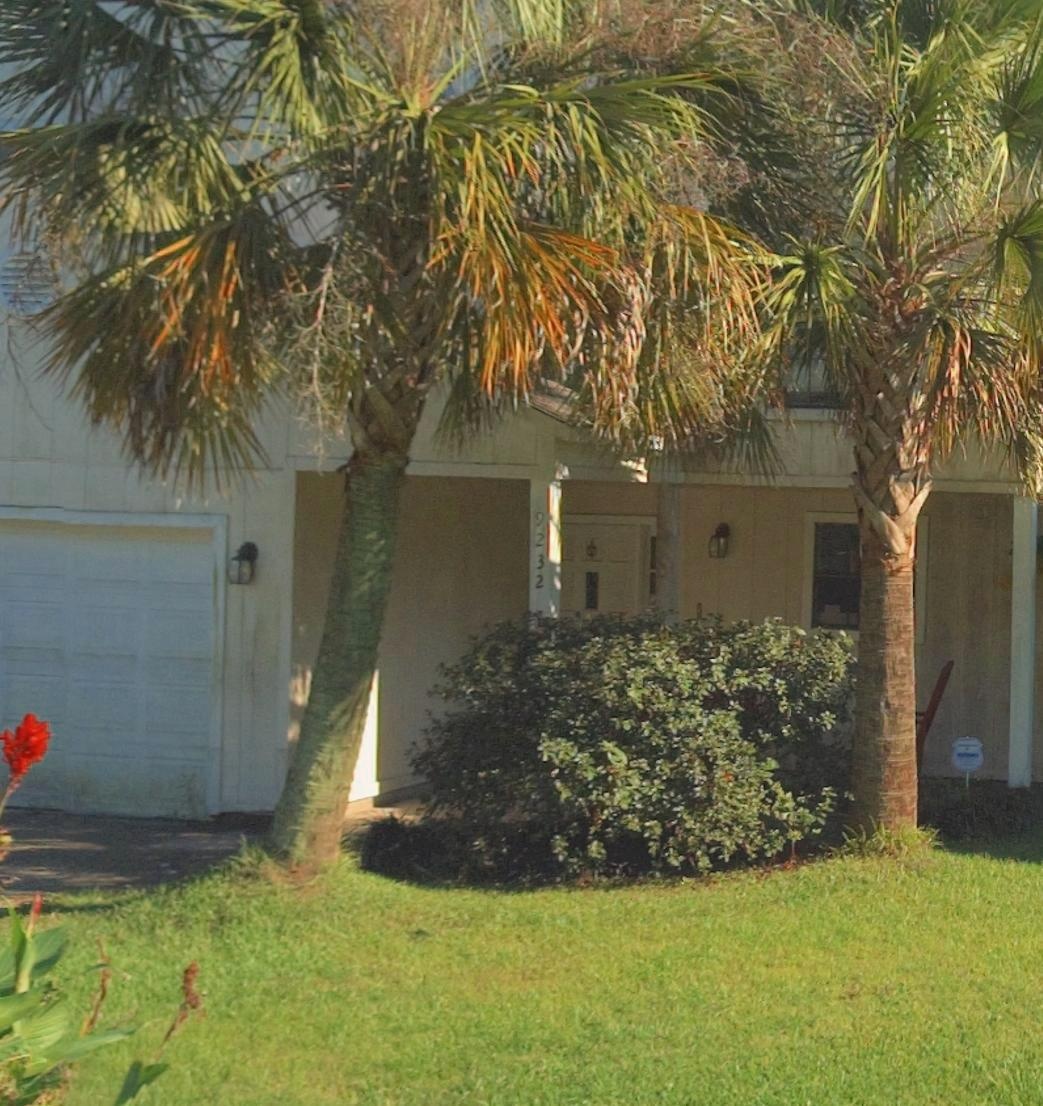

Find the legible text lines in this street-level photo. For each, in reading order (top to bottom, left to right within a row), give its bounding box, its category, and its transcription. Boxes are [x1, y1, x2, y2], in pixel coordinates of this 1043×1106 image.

[533, 510, 547, 590] StreetNumber: 9232